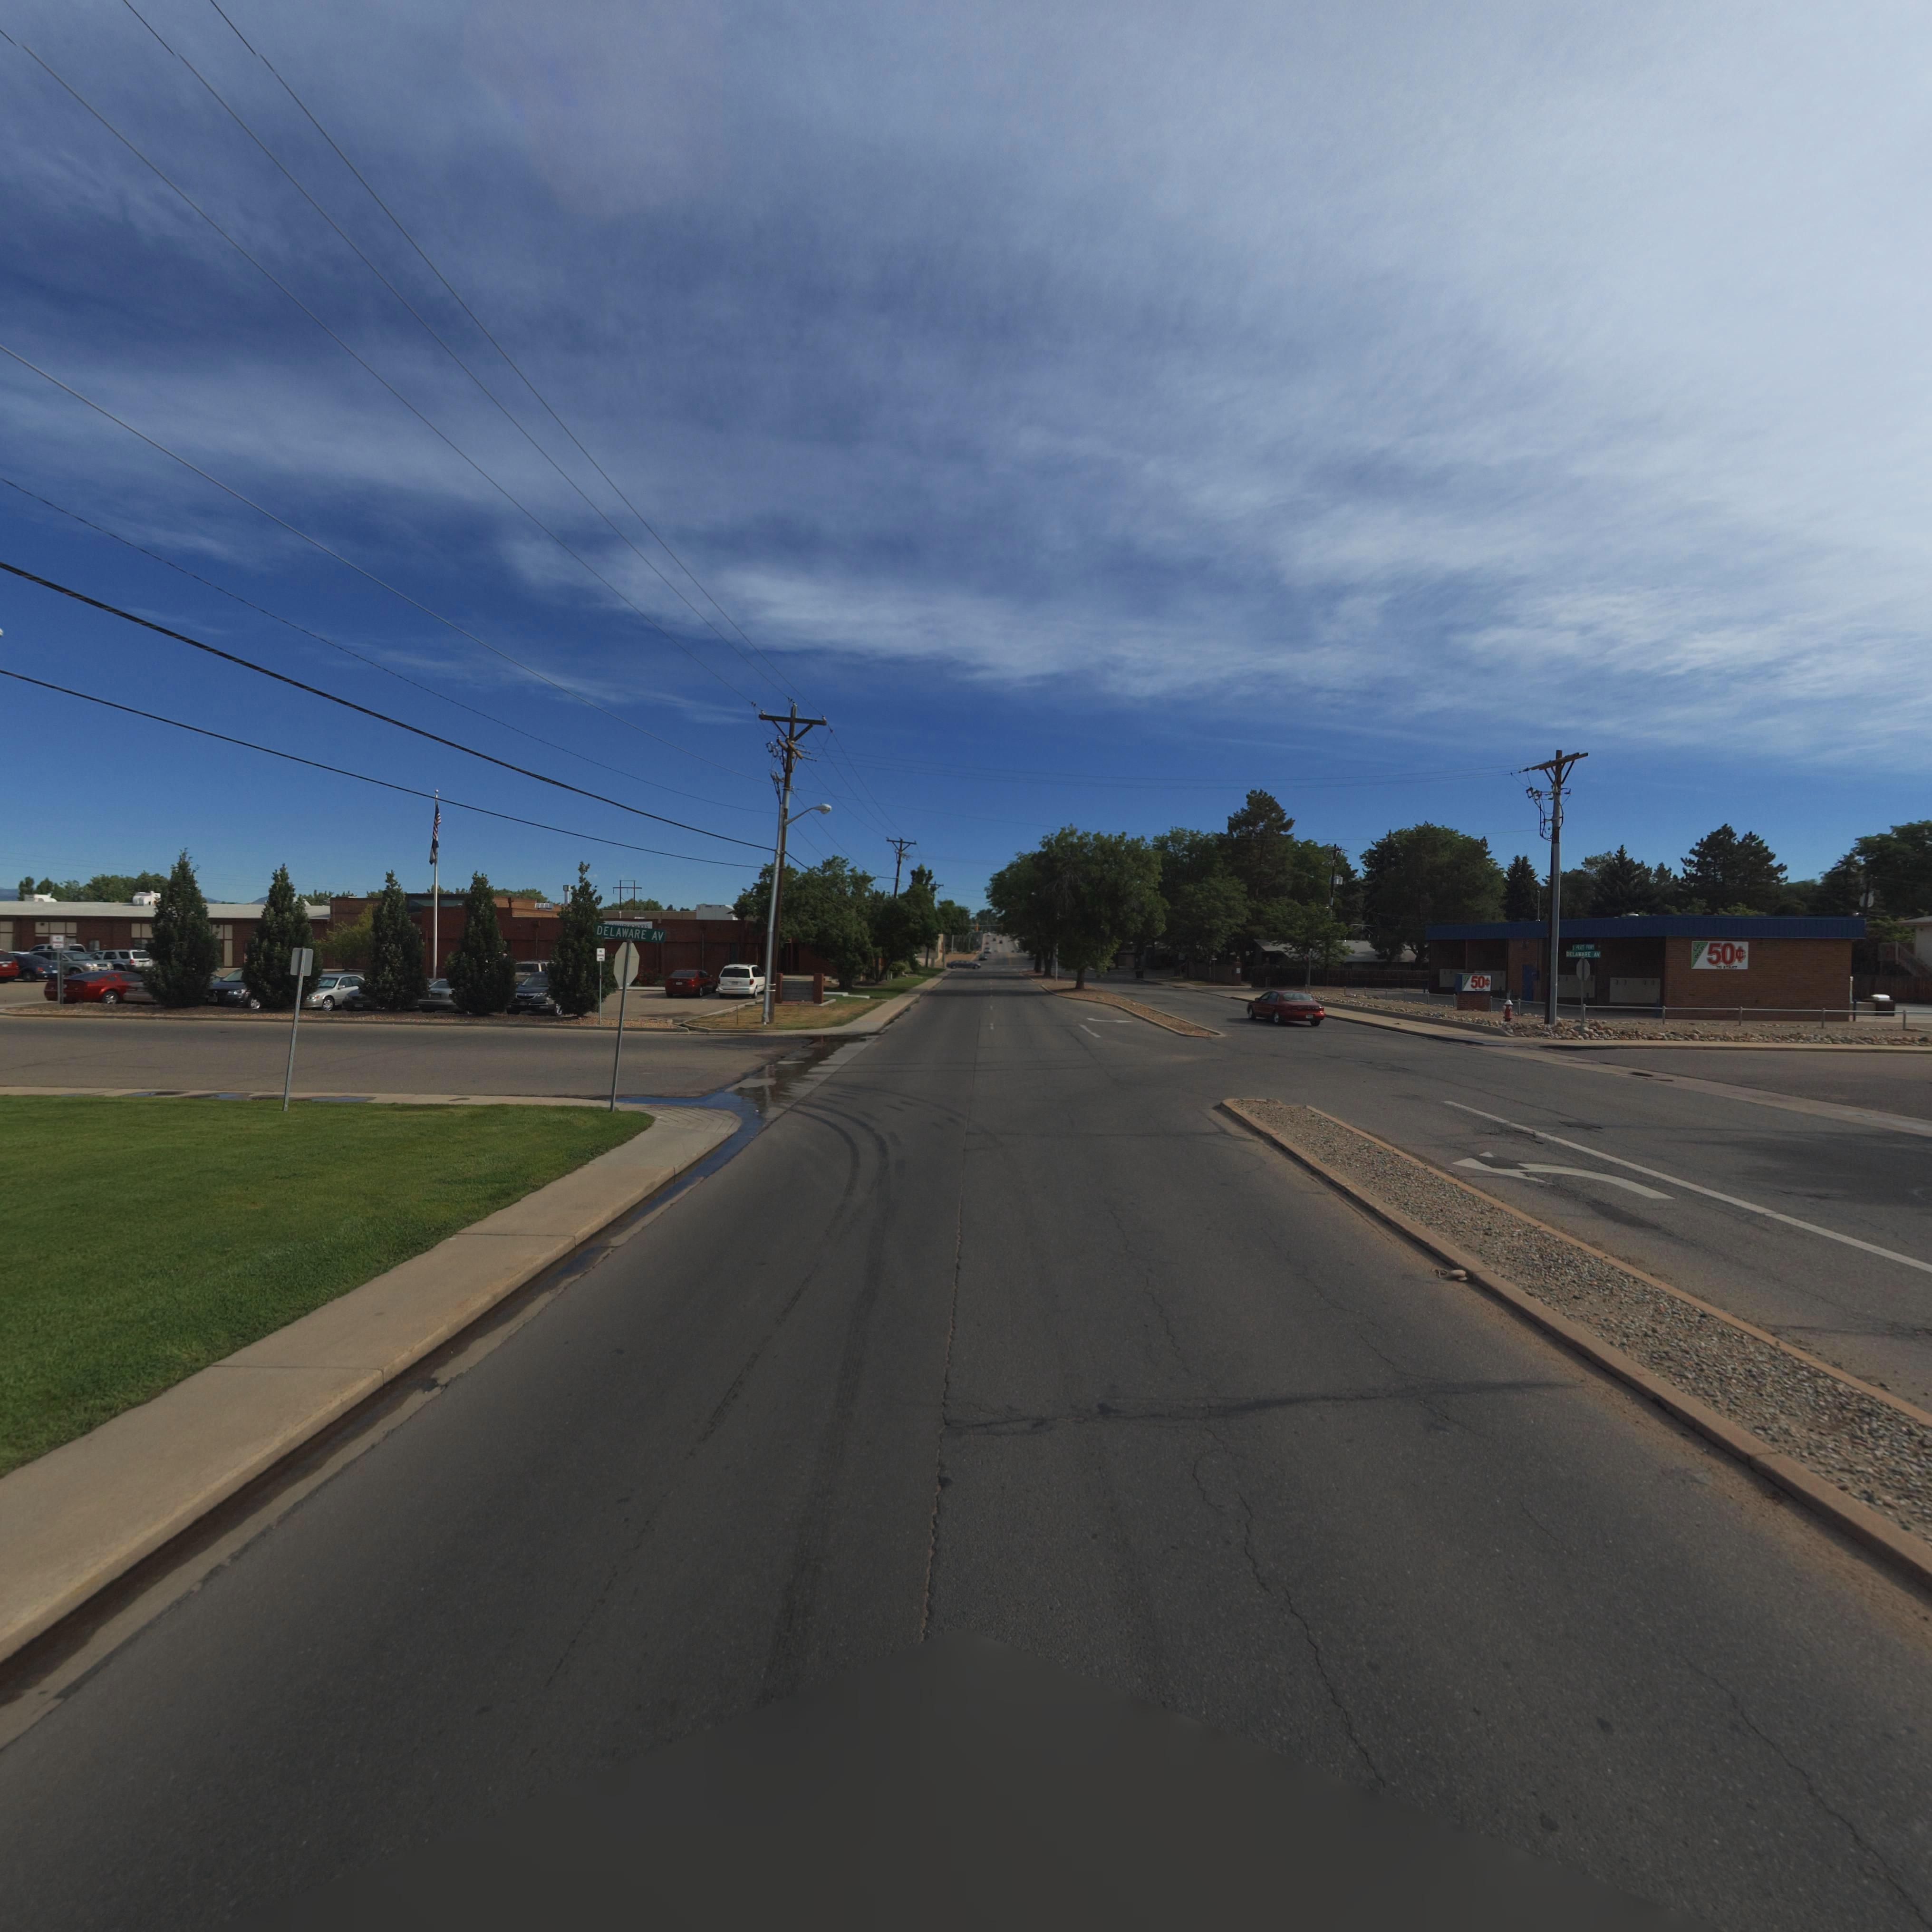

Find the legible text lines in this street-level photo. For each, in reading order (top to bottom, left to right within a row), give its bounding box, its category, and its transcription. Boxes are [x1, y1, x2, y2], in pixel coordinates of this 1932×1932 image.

[596, 925, 664, 941] StreetName: DELAWARE AV
[1572, 945, 1594, 949] StreetName: * P***T P**Y
[1566, 951, 1600, 956] StreetName: DELAW*RE AV